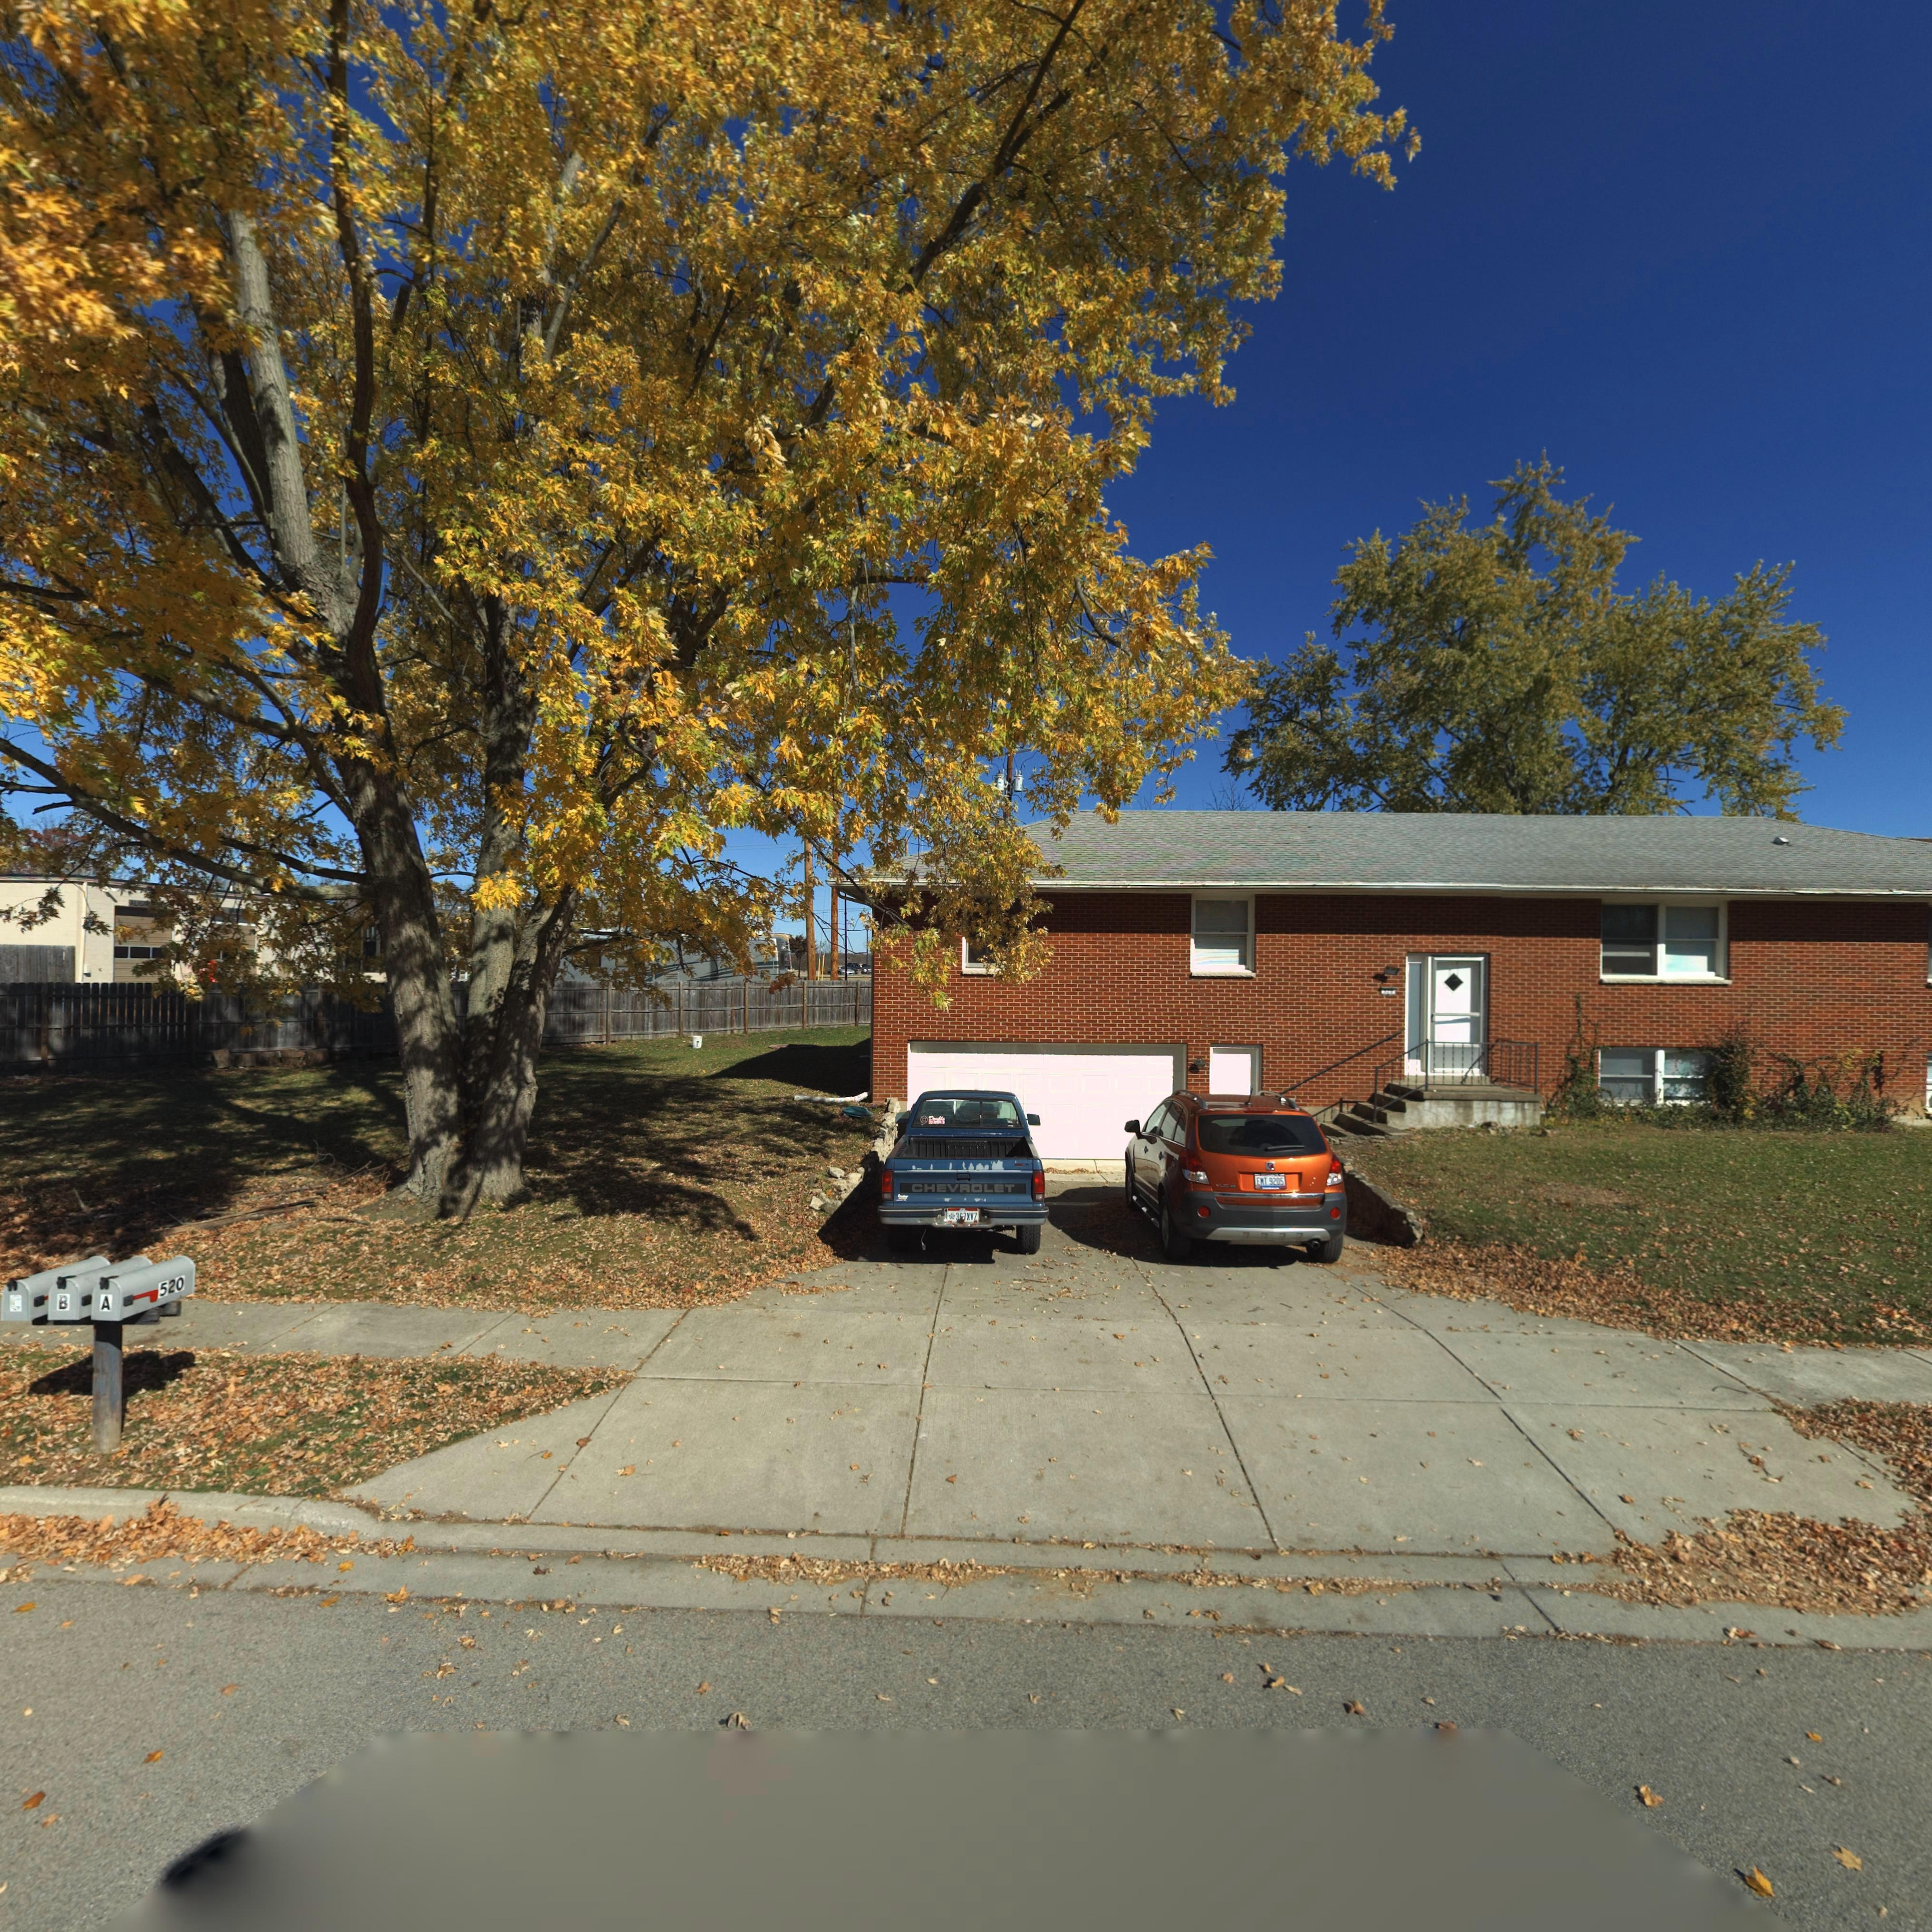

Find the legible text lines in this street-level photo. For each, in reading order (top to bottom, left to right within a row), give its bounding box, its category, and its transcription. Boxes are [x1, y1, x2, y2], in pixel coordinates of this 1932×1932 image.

[1383, 989, 1394, 994] StreetNumber: 520
[159, 1276, 184, 1297] StreetNumber: 520